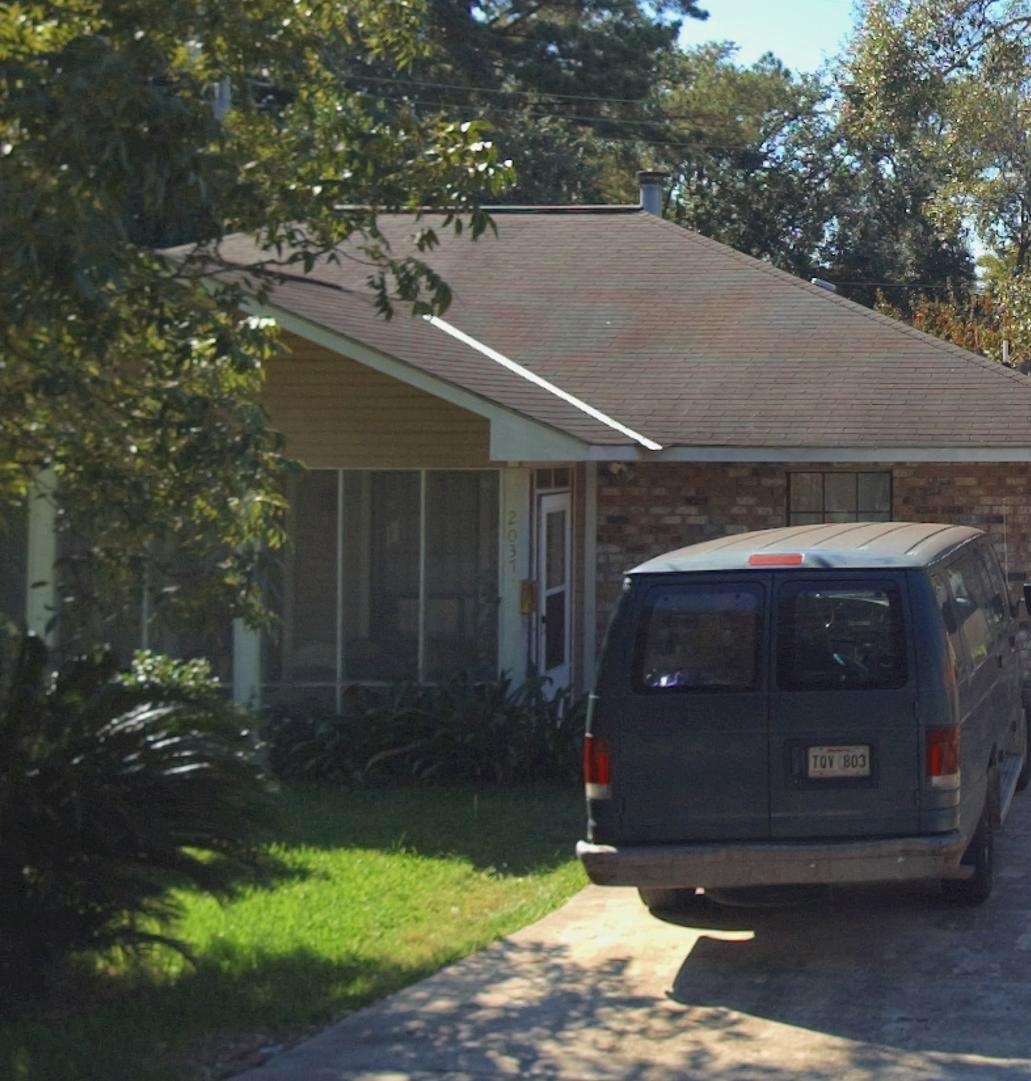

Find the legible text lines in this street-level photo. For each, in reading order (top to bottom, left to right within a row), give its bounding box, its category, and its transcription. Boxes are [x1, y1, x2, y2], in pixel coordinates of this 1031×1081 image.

[505, 509, 519, 575] StreetNumber: 2037
[811, 753, 867, 771] None: TQV 803